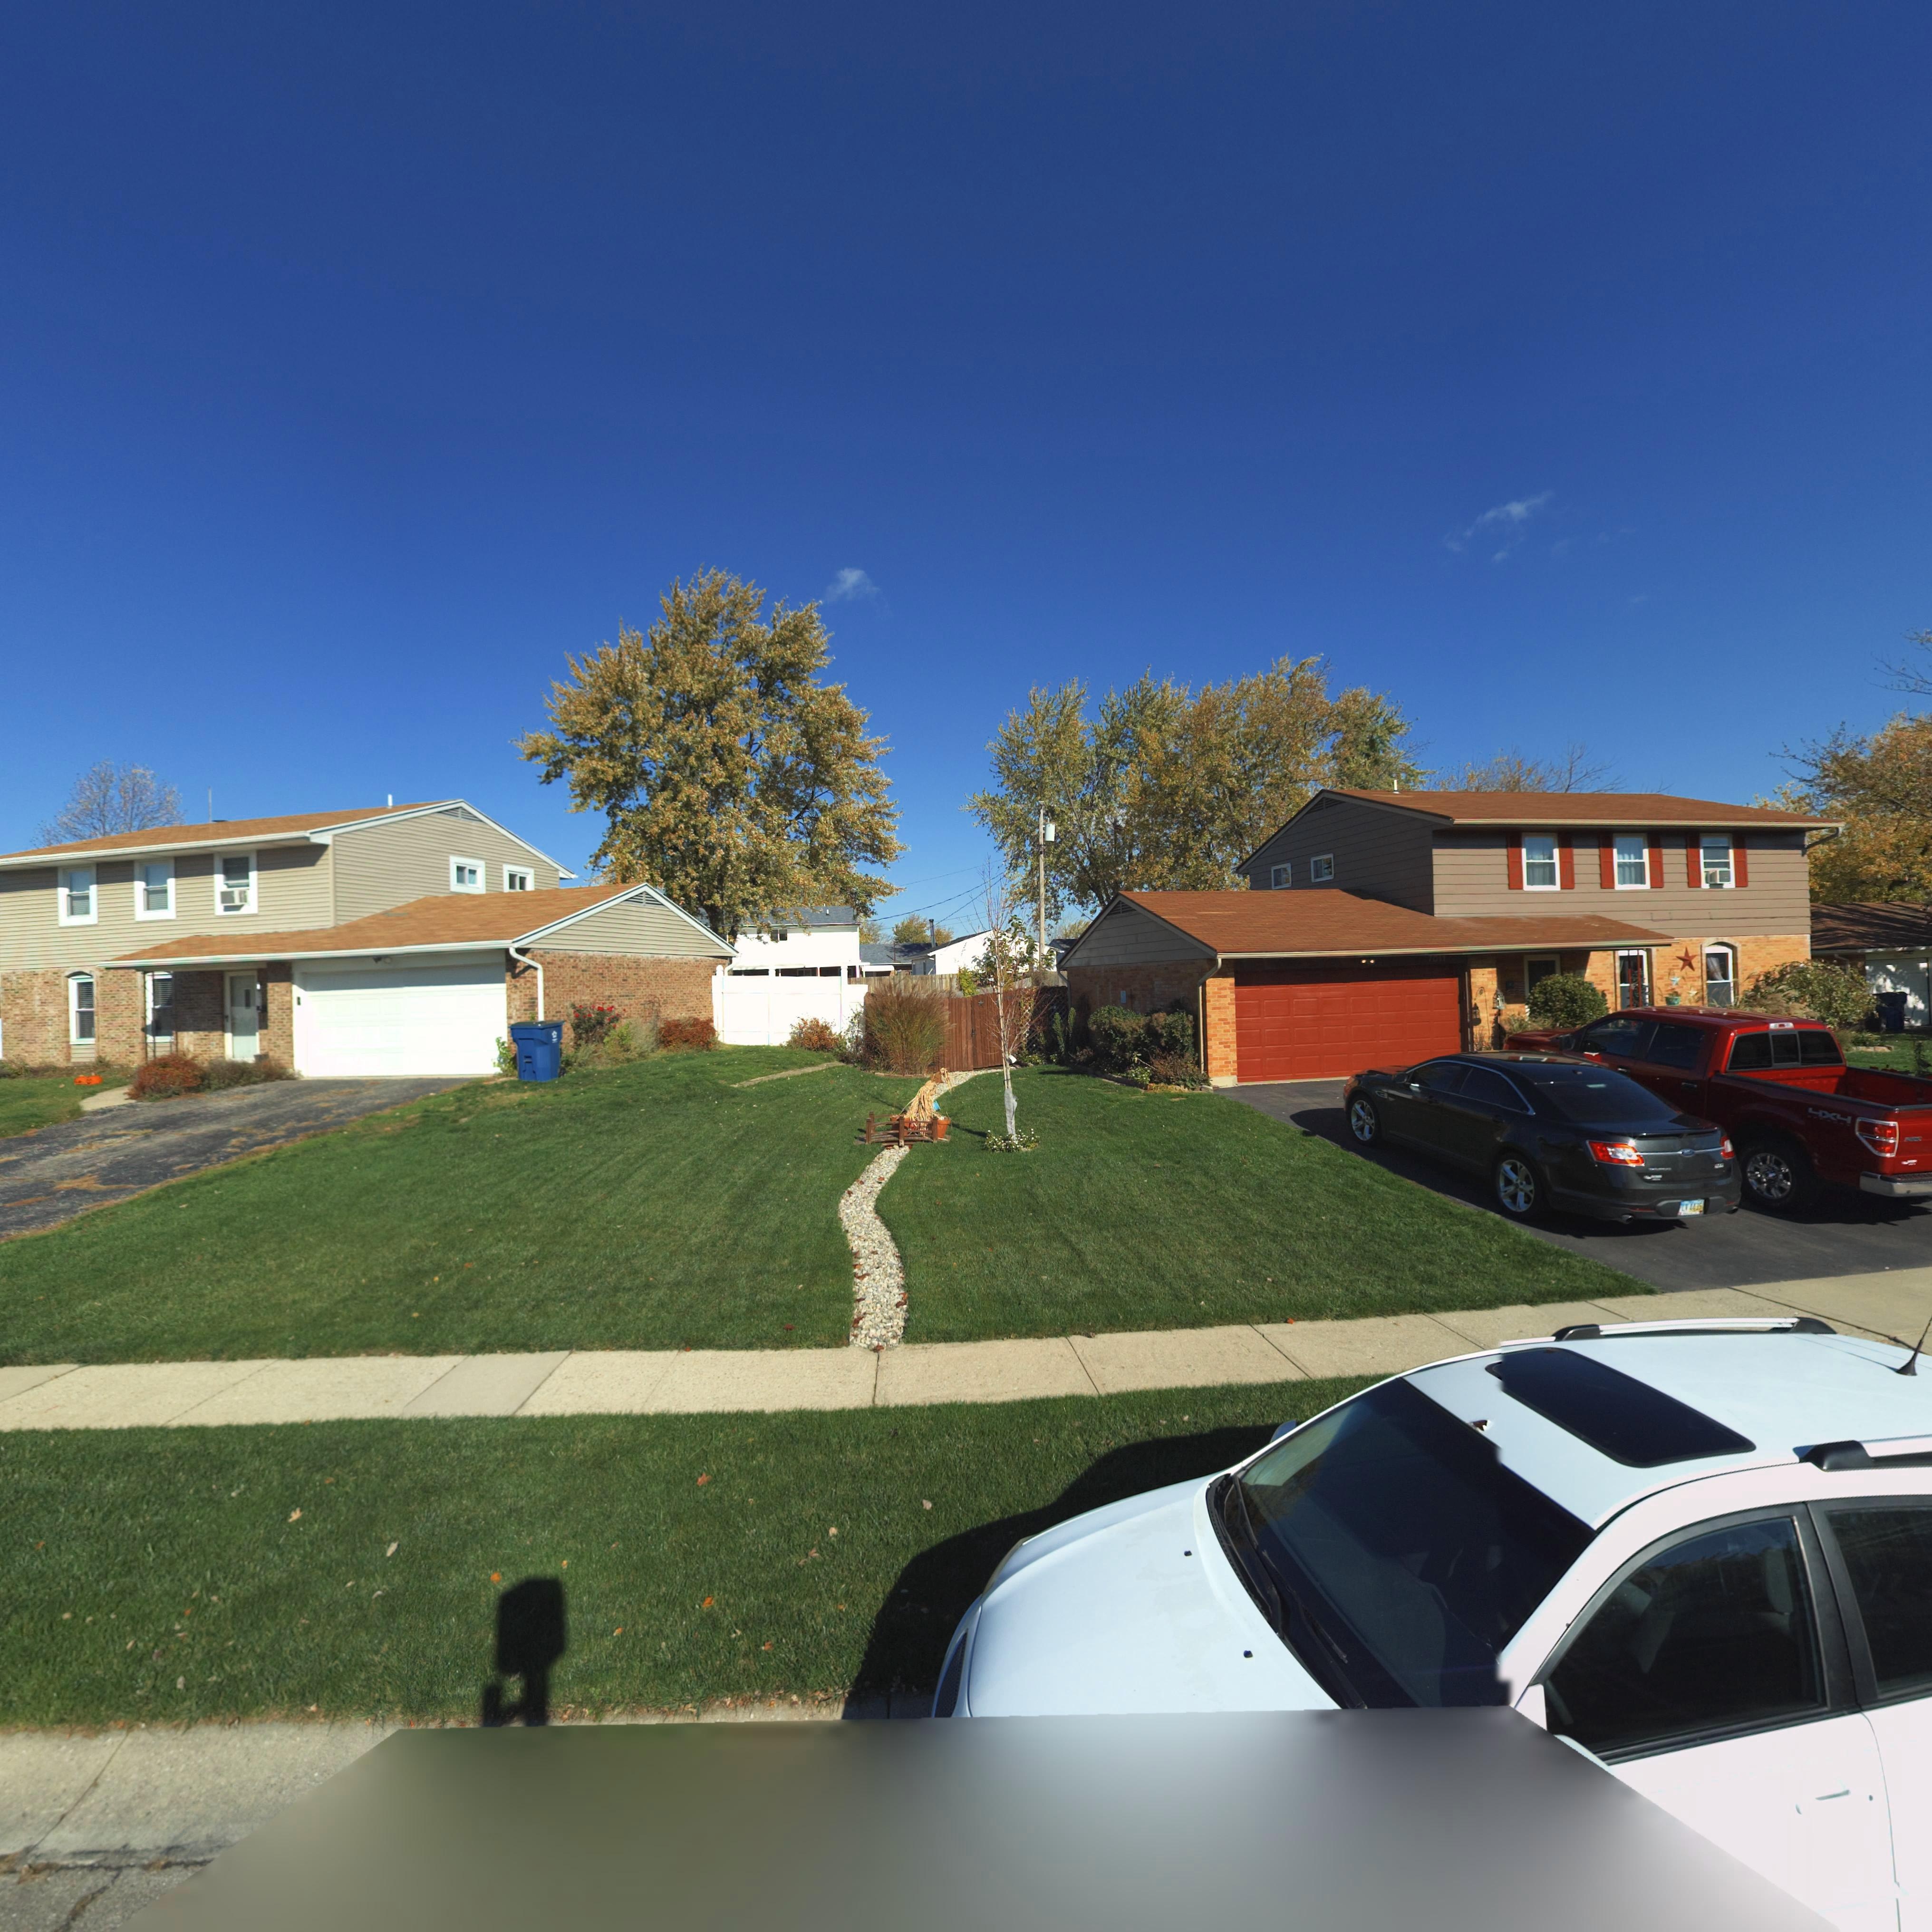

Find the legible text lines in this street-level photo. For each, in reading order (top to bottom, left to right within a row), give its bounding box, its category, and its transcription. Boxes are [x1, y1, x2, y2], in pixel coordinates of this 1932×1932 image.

[1427, 955, 1446, 963] StreetNumber: 7011